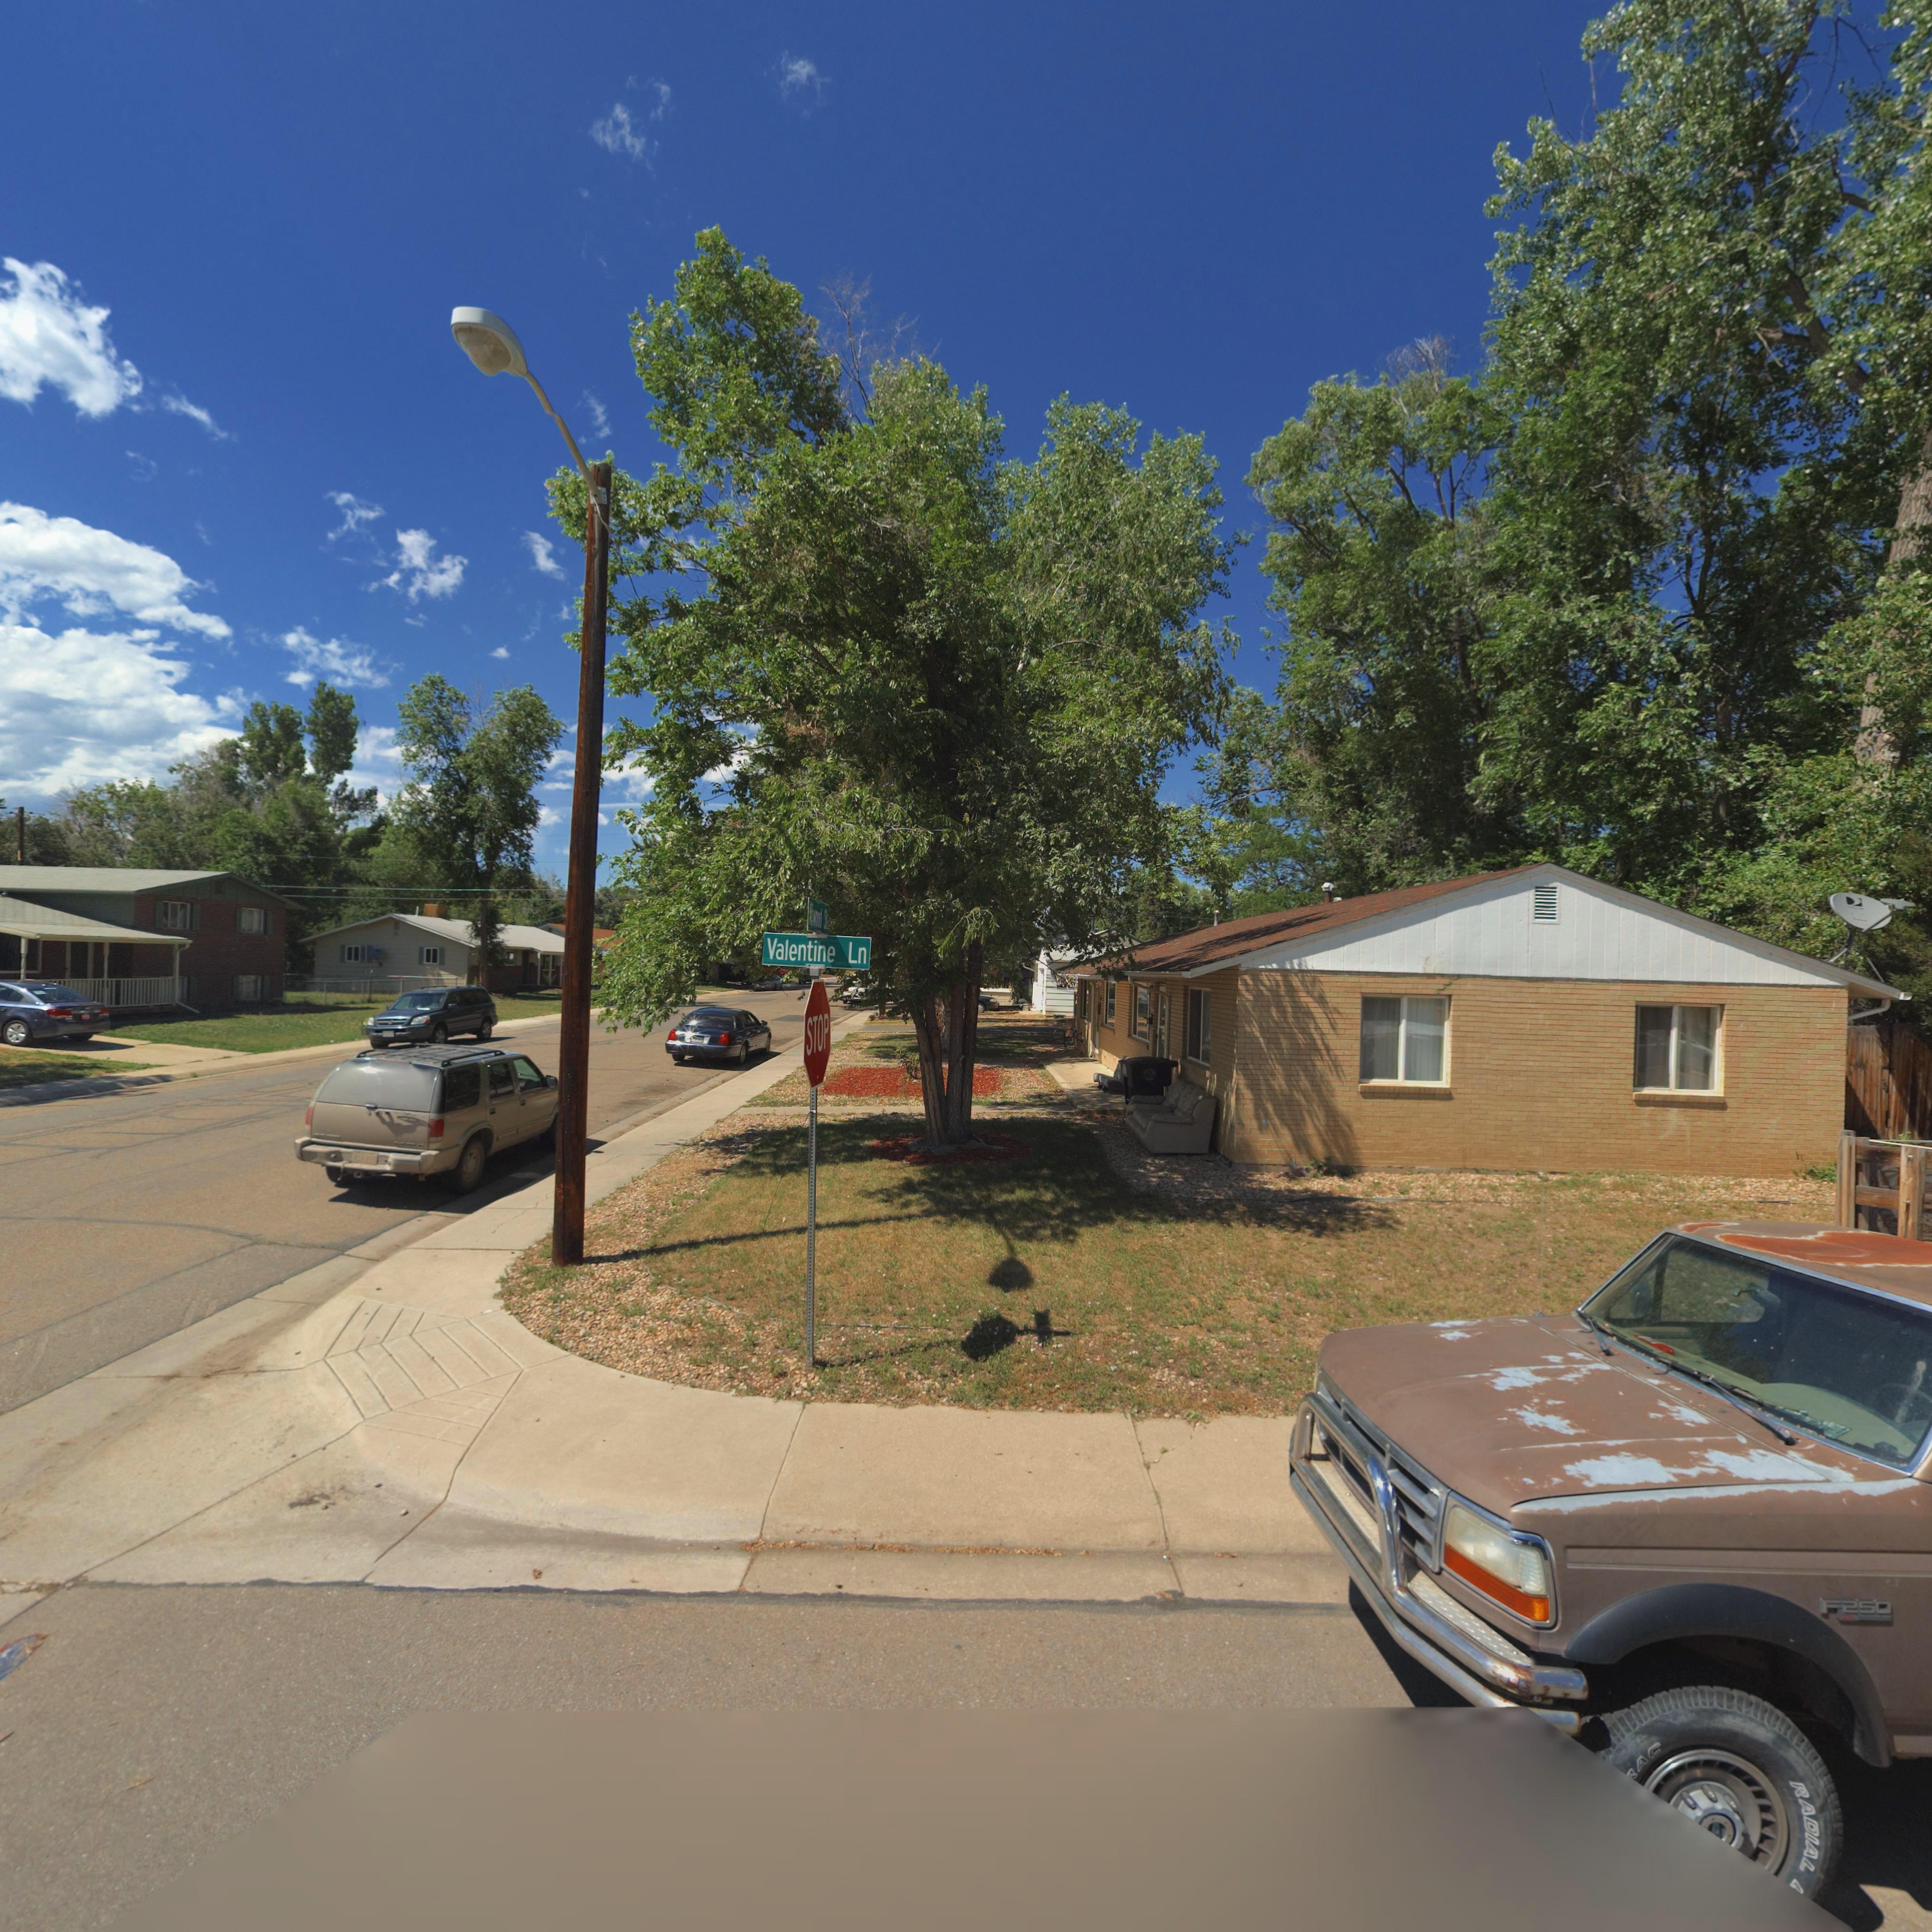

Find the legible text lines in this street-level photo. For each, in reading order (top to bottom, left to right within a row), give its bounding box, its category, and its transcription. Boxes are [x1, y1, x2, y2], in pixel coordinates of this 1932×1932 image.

[809, 902, 828, 930] StreetName: A*wood S*
[767, 937, 868, 965] StreetName: Valentine Ln